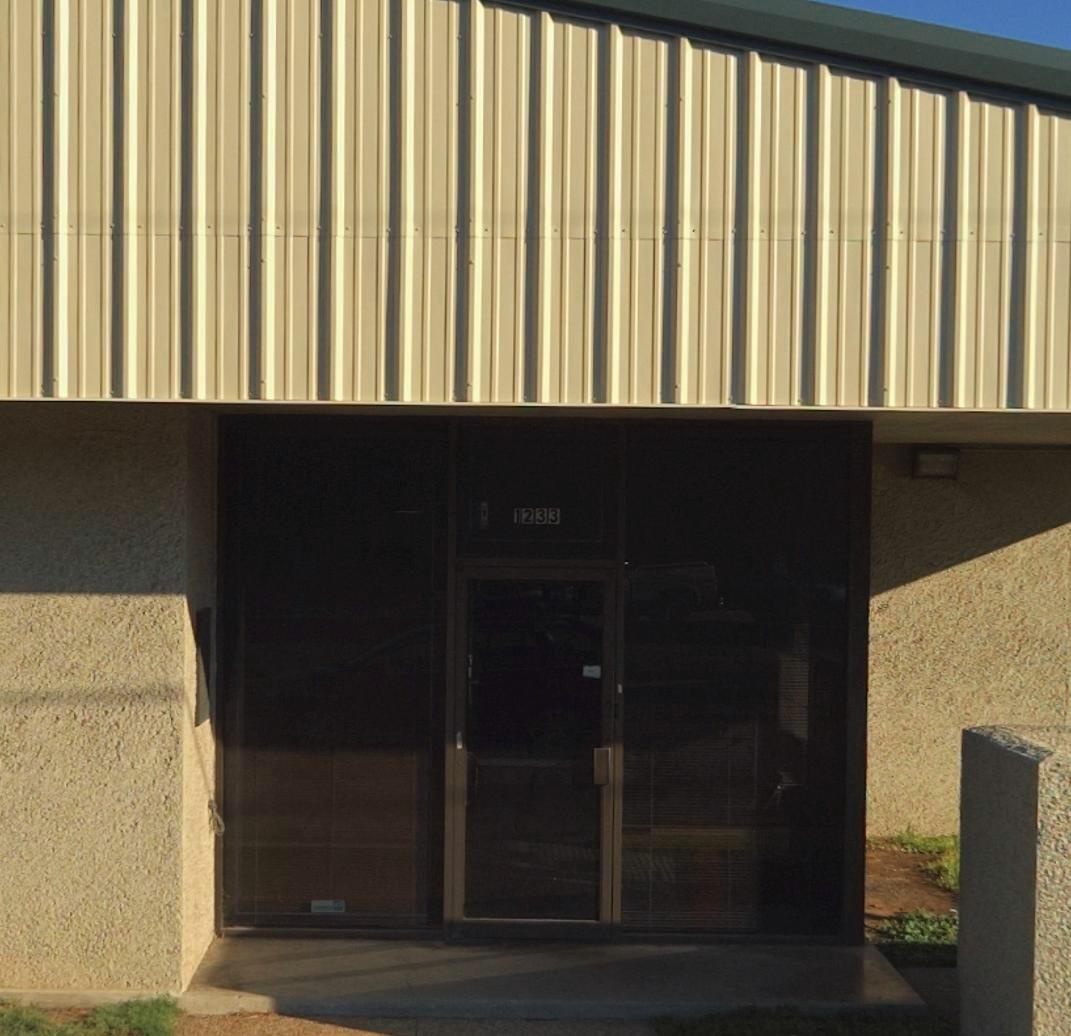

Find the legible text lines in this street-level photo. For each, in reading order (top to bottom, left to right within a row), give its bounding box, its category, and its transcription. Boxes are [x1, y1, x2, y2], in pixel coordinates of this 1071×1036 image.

[512, 507, 561, 525] StreetNumber: 1233